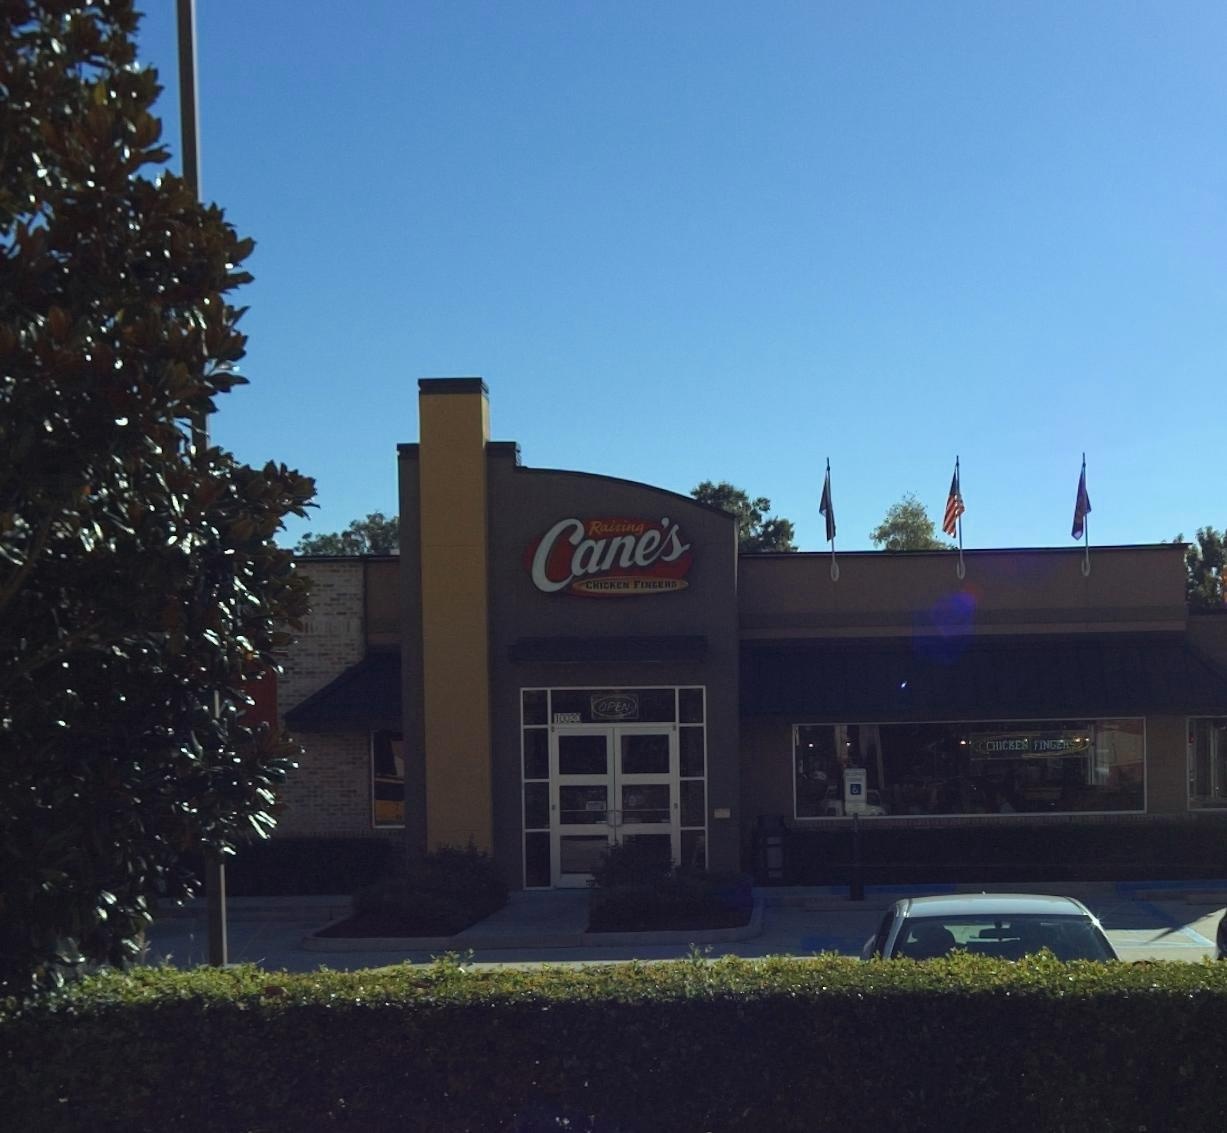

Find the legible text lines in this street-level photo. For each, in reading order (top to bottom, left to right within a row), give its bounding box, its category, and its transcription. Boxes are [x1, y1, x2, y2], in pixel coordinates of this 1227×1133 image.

[586, 518, 646, 538] BusinessName: Raising
[527, 515, 690, 594] BusinessName: Cane's
[580, 579, 679, 590] None: CHICKEN FINGERS
[596, 700, 632, 713] None: OPEN
[554, 712, 582, 724] StreetNumber: 10020
[985, 738, 1076, 752] None: CHICKEN FINGERS